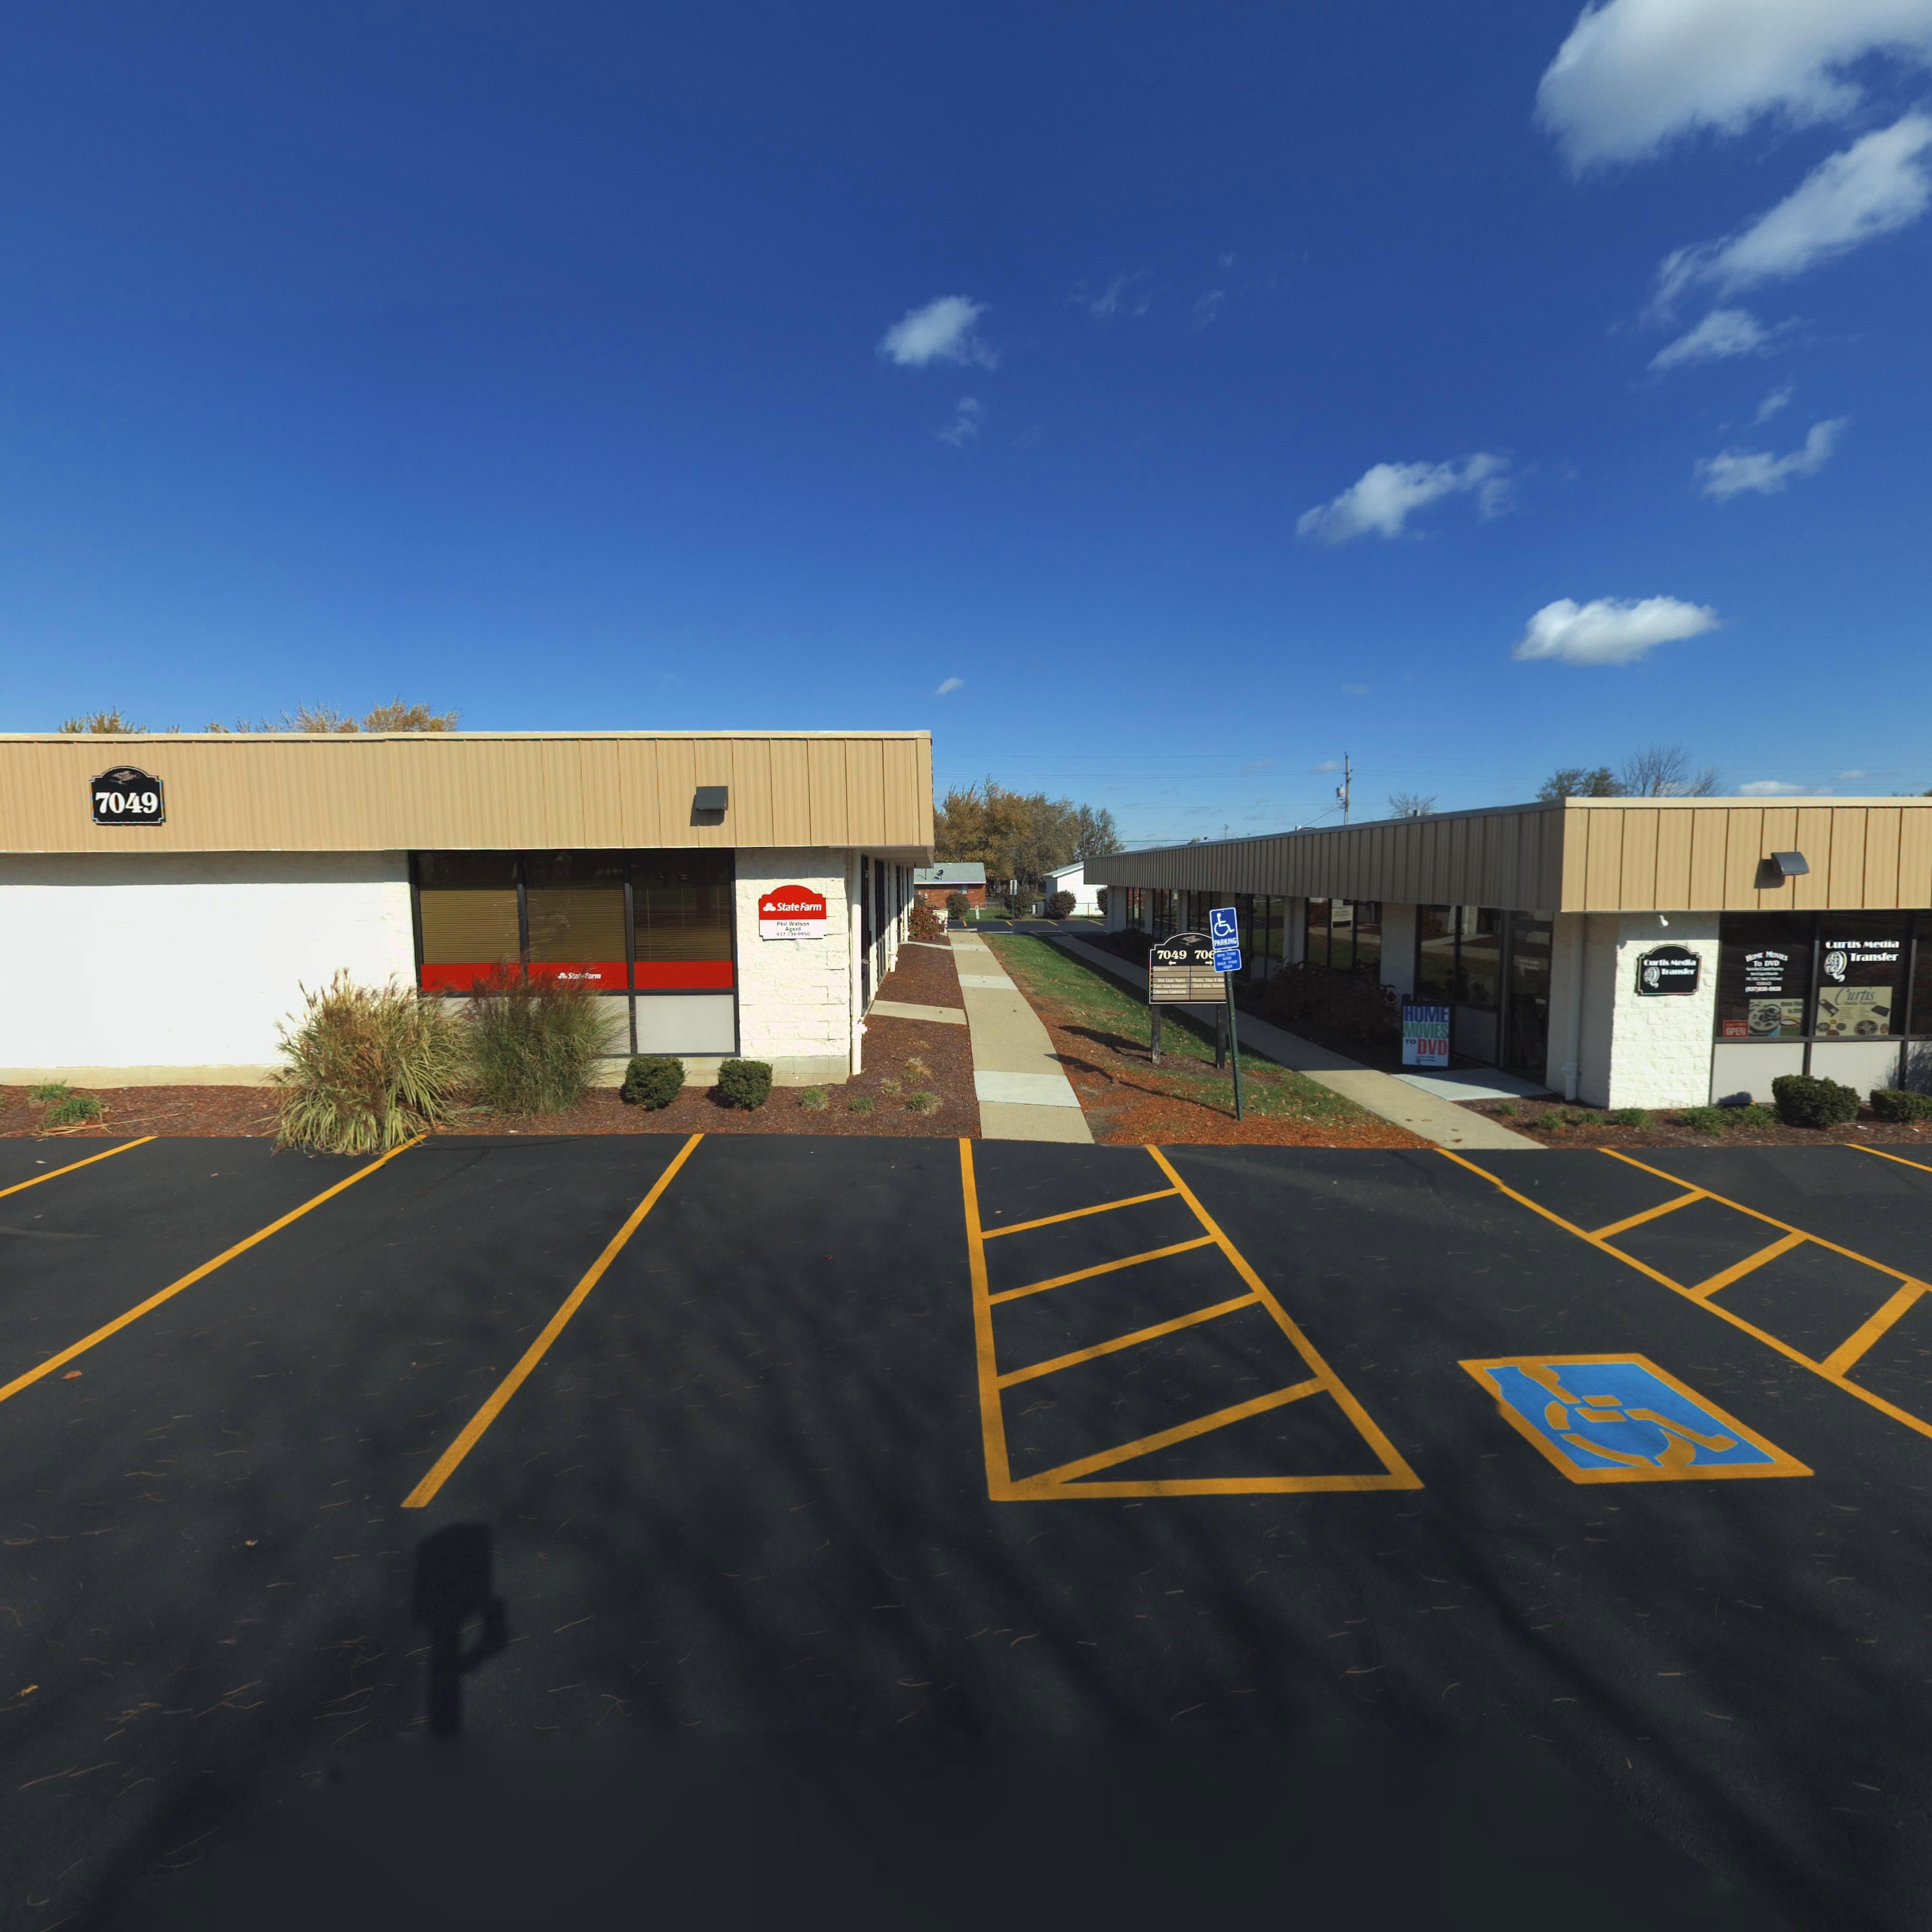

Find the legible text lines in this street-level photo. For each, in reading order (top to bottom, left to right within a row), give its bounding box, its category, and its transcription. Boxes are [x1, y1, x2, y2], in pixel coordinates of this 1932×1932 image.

[93, 789, 161, 816] StreetNumber: 7049
[1156, 949, 1188, 961] StreetNumber: 7049
[1193, 948, 1210, 961] StreetNumber: 70